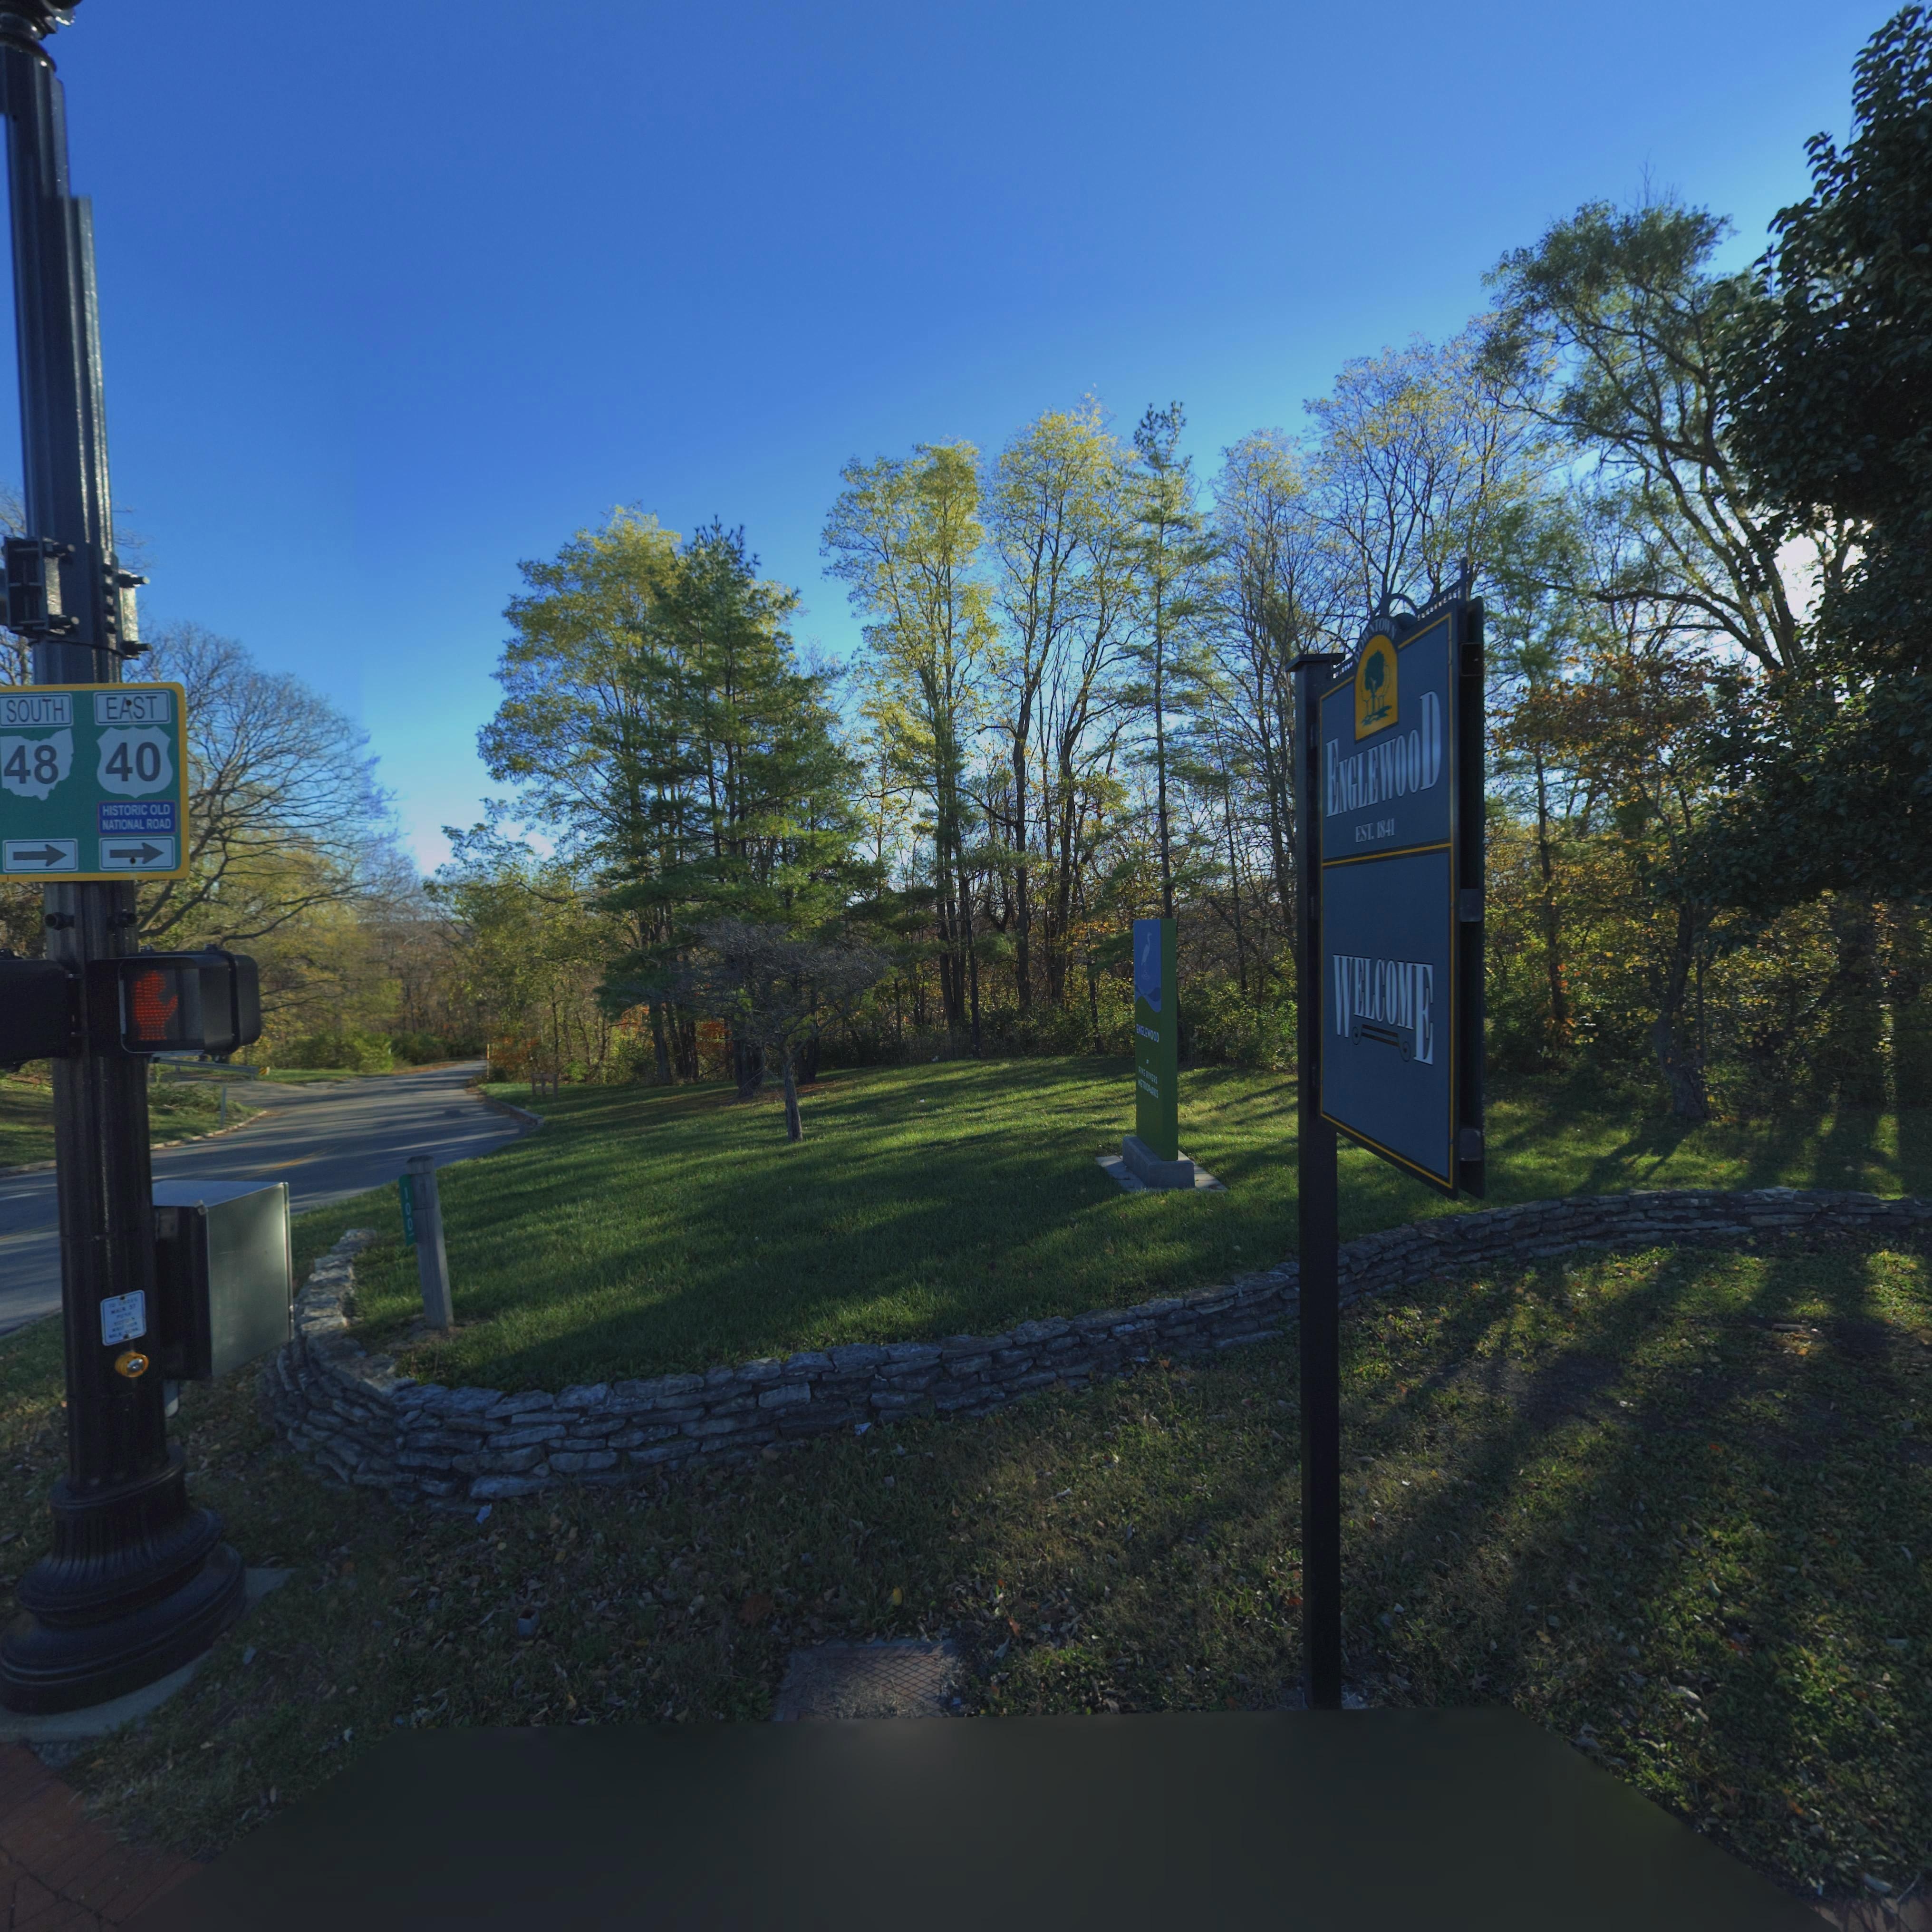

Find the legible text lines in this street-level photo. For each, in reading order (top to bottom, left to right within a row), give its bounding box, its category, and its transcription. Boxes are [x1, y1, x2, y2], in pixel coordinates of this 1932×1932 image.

[3, 696, 66, 726] StreetName: SOUTH
[103, 694, 162, 724] StreetName: EAST
[2, 744, 60, 791] StreetNumber: 48
[102, 742, 163, 791] StreetNumber: 40
[1324, 688, 1442, 819] None: ENGLEWOOD
[101, 803, 172, 818] None: HISTORIC OLD
[101, 818, 173, 832] None: NATIONAL ROAD
[1353, 817, 1395, 844] None: EST. 1841
[1334, 953, 1436, 1070] None: WELCOME
[402, 1184, 415, 1233] StreetNumber: 100